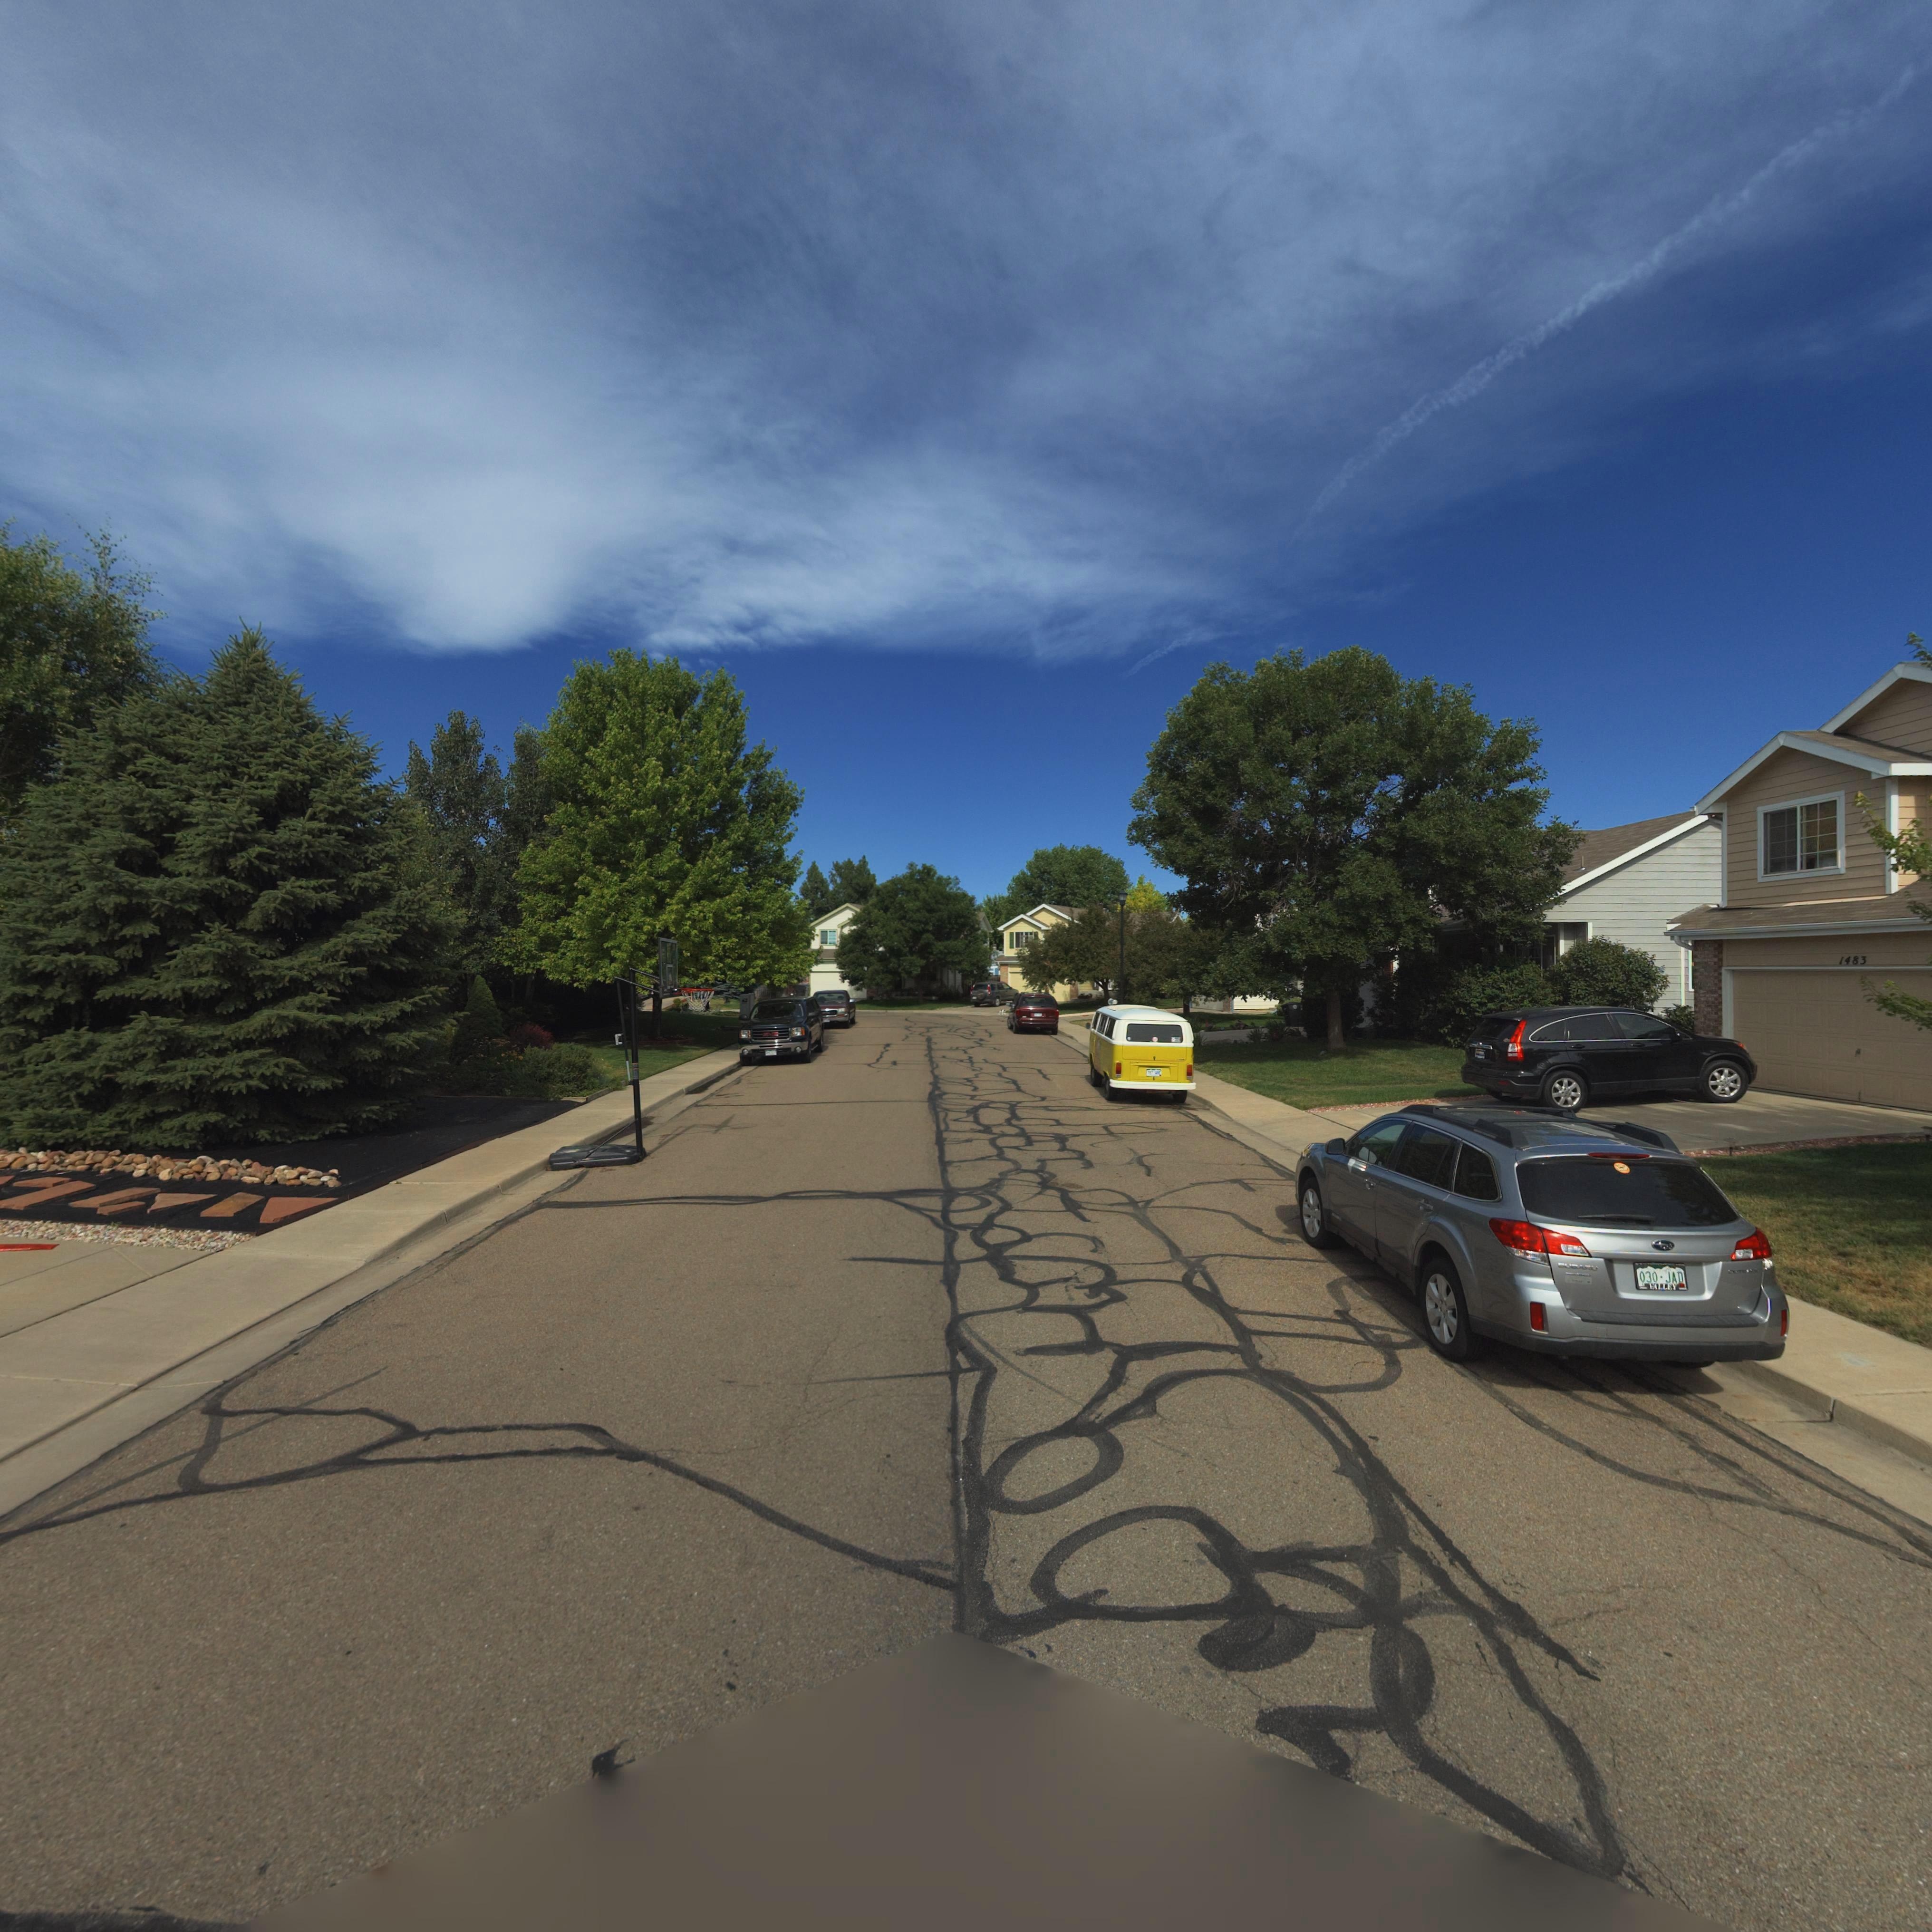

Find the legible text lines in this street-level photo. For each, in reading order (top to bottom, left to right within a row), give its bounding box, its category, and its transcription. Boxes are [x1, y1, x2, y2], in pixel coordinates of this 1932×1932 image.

[1838, 955, 1866, 966] StreetNumber: 1483